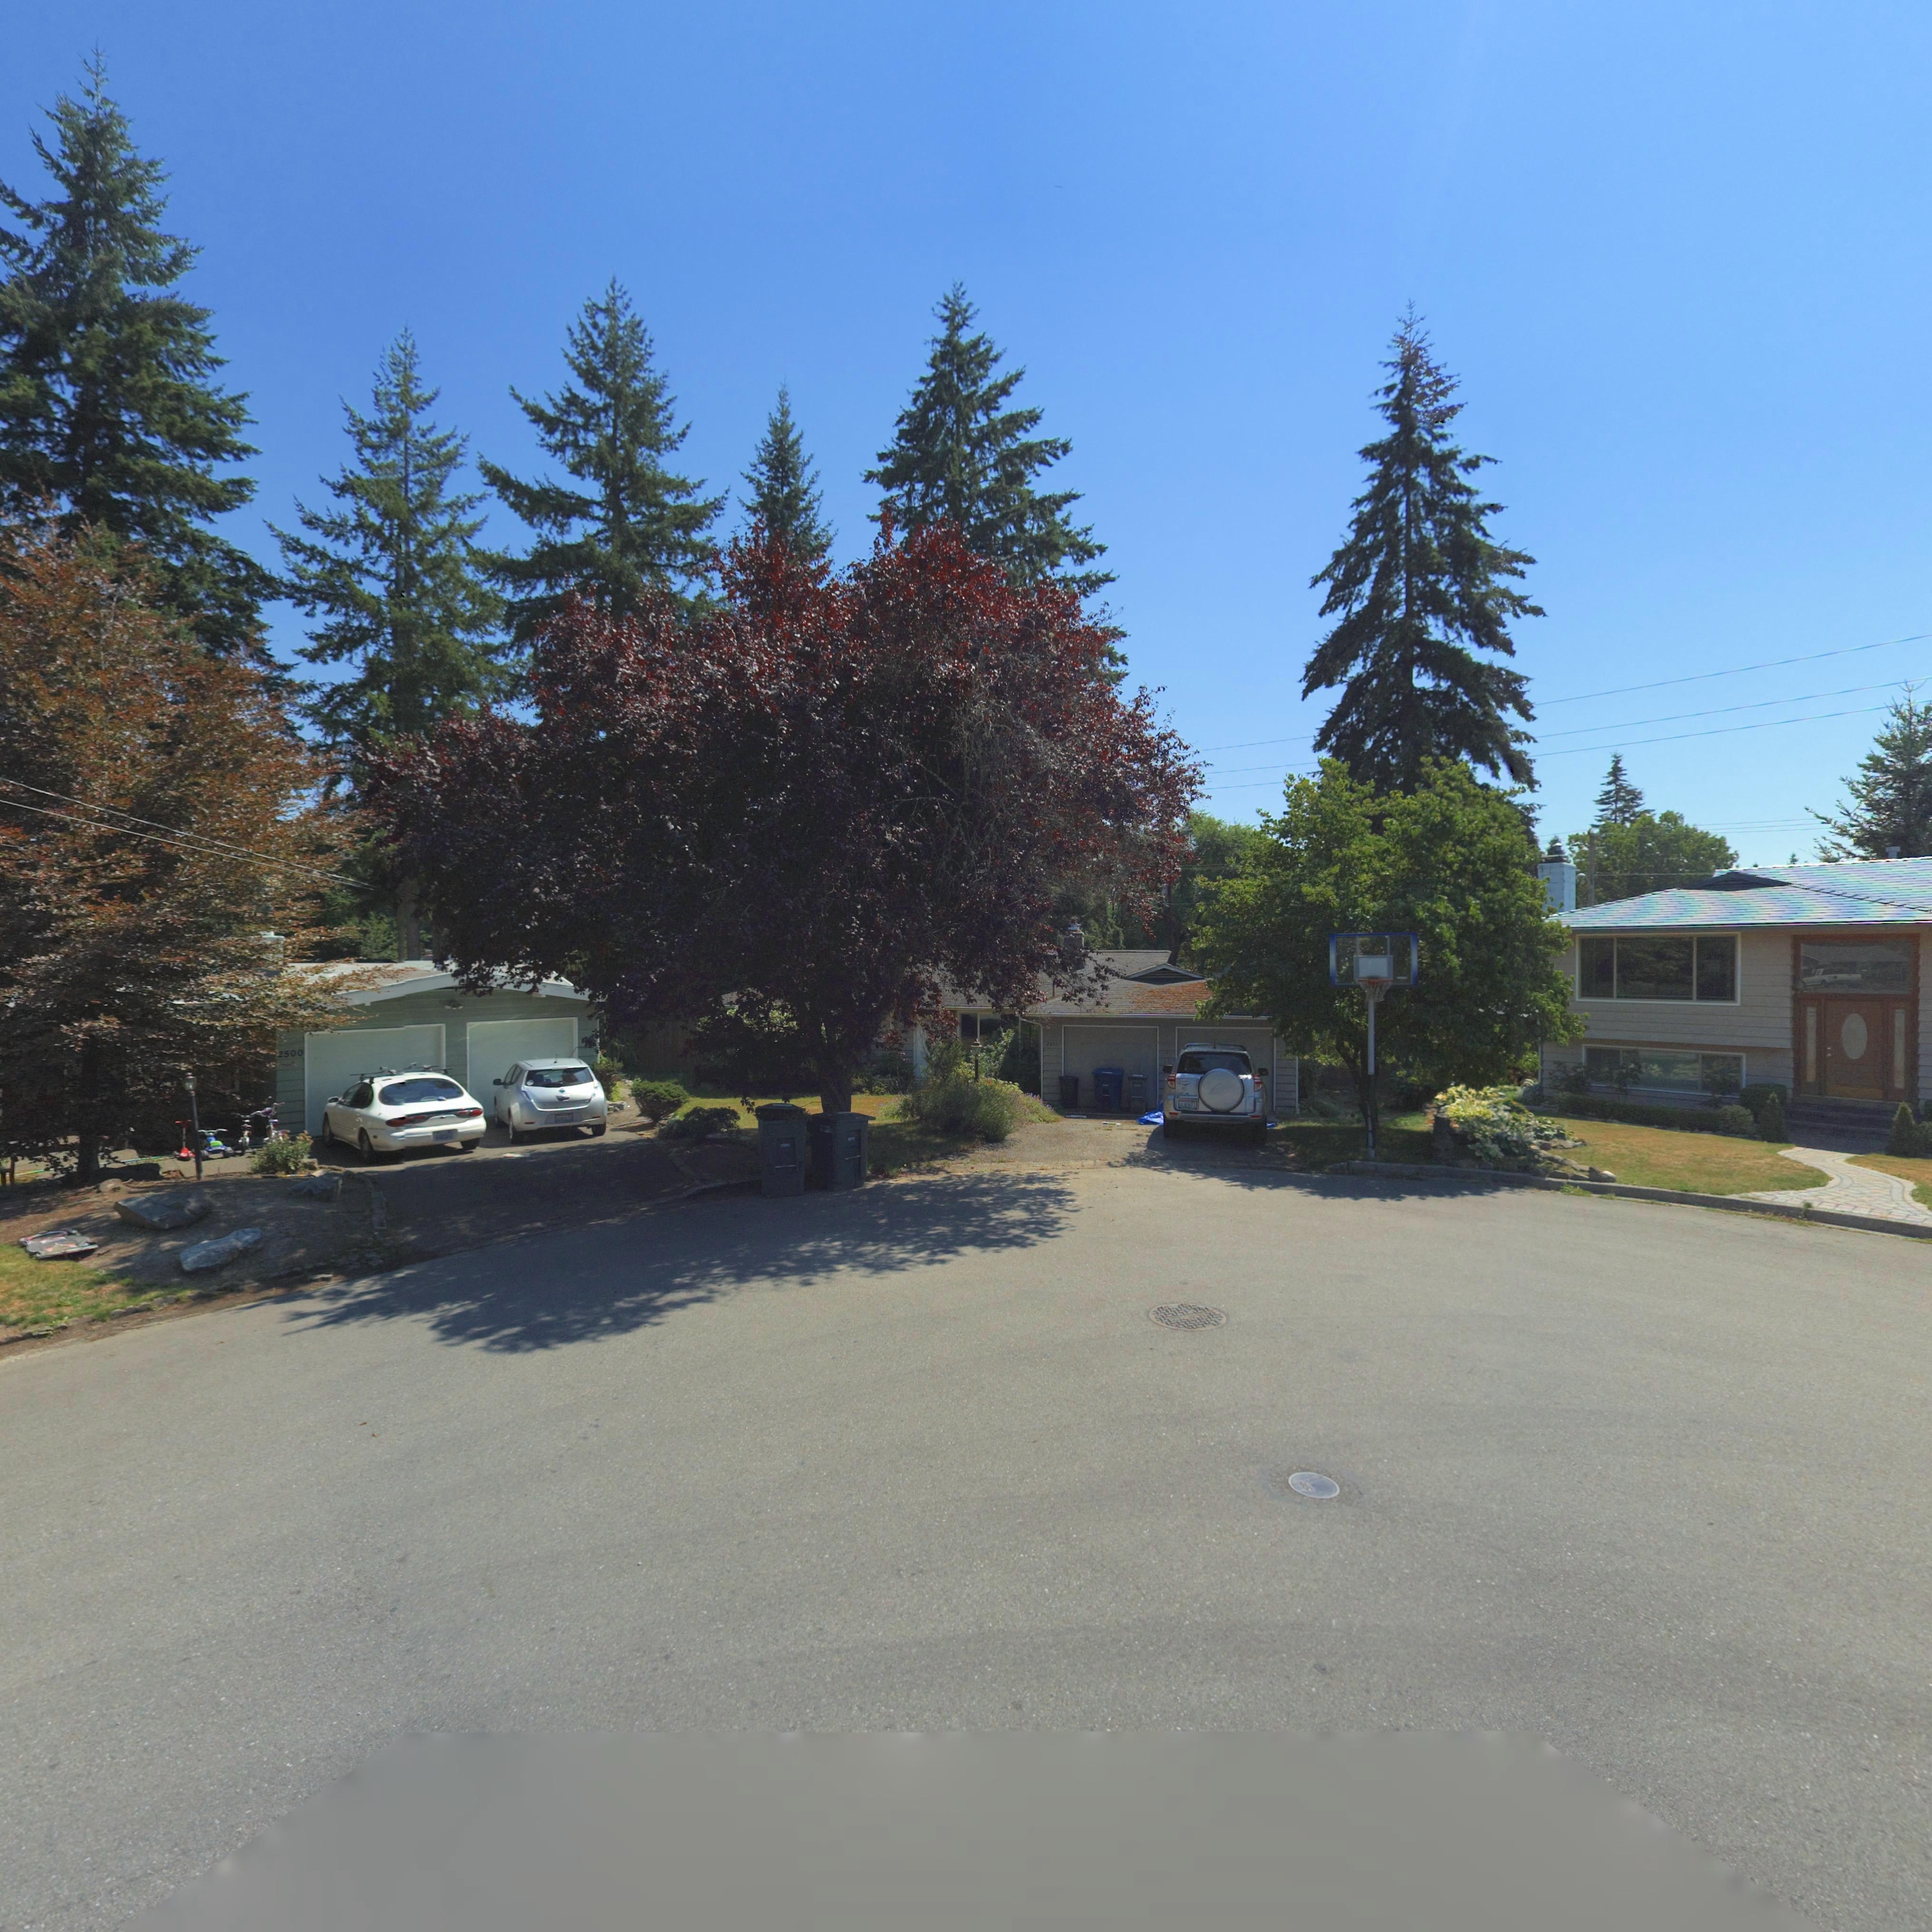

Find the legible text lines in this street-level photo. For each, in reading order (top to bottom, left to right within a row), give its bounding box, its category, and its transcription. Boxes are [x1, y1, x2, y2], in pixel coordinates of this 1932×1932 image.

[1045, 1041, 1058, 1046] StreetNumber: 241*
[277, 1049, 304, 1058] StreetNumber: 2500